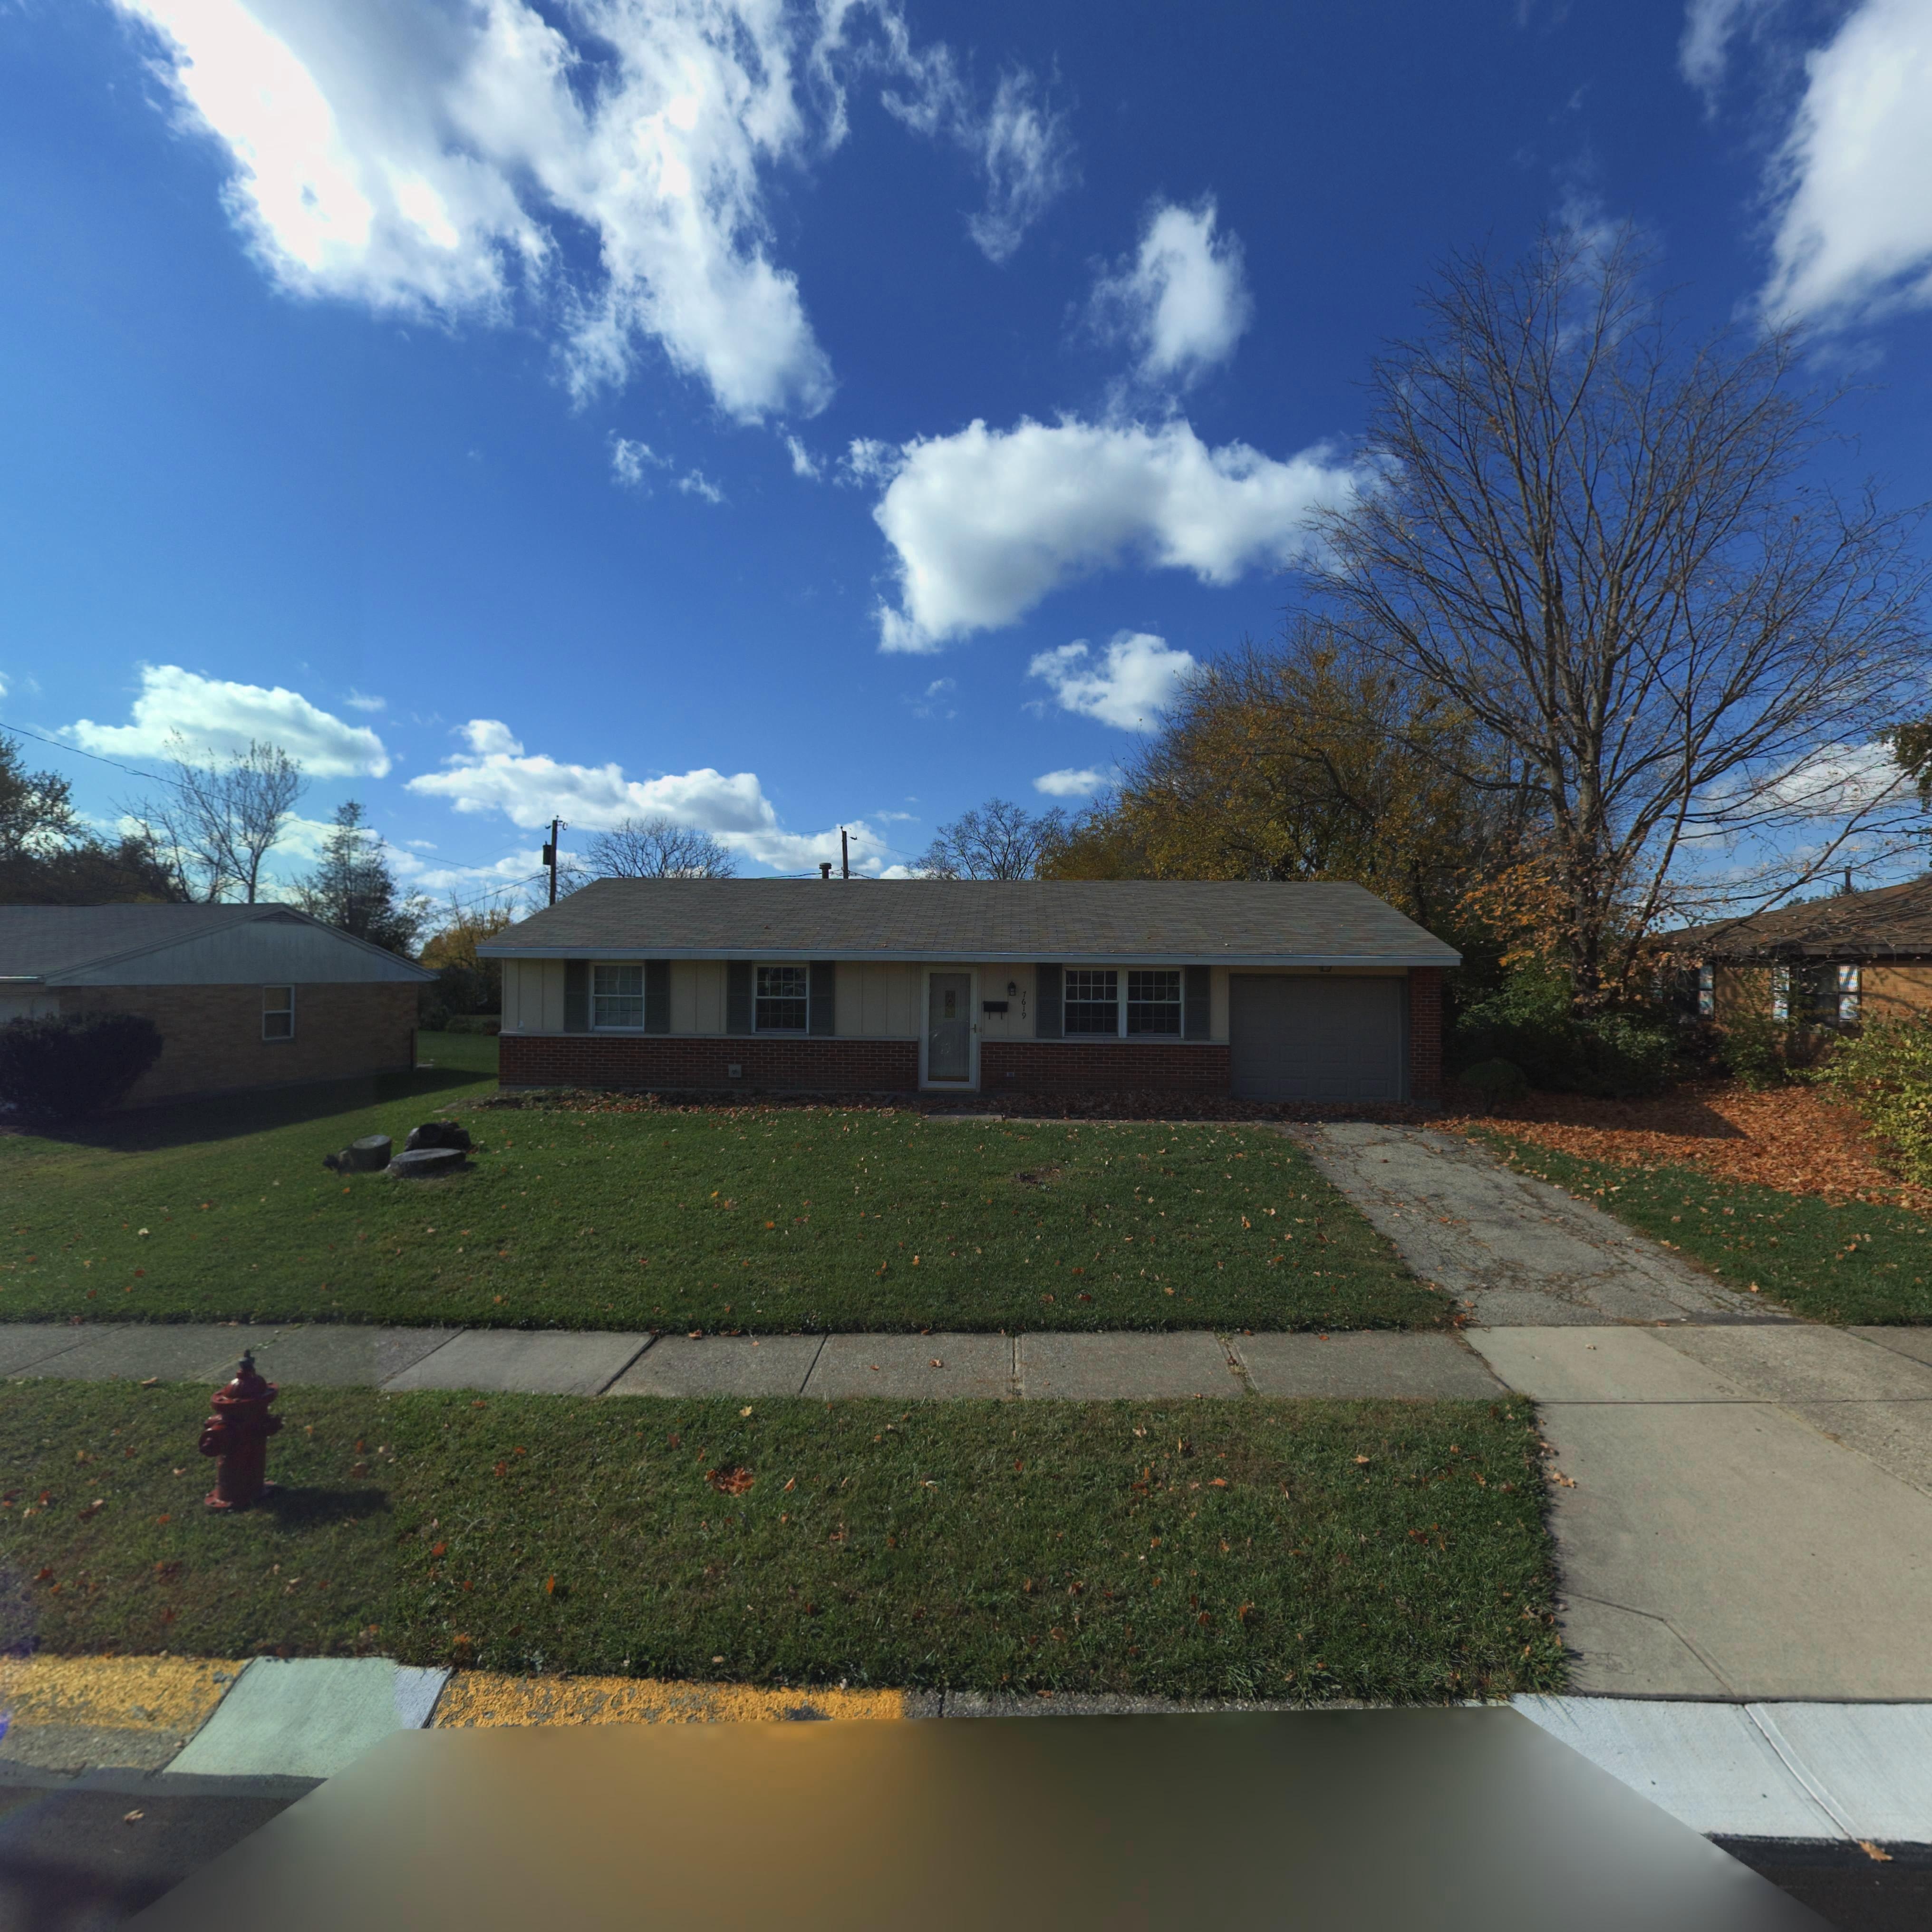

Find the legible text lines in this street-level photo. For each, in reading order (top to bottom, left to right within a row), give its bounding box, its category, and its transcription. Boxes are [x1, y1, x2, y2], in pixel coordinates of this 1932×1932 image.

[1021, 989, 1027, 1020] StreetNumber: 7619